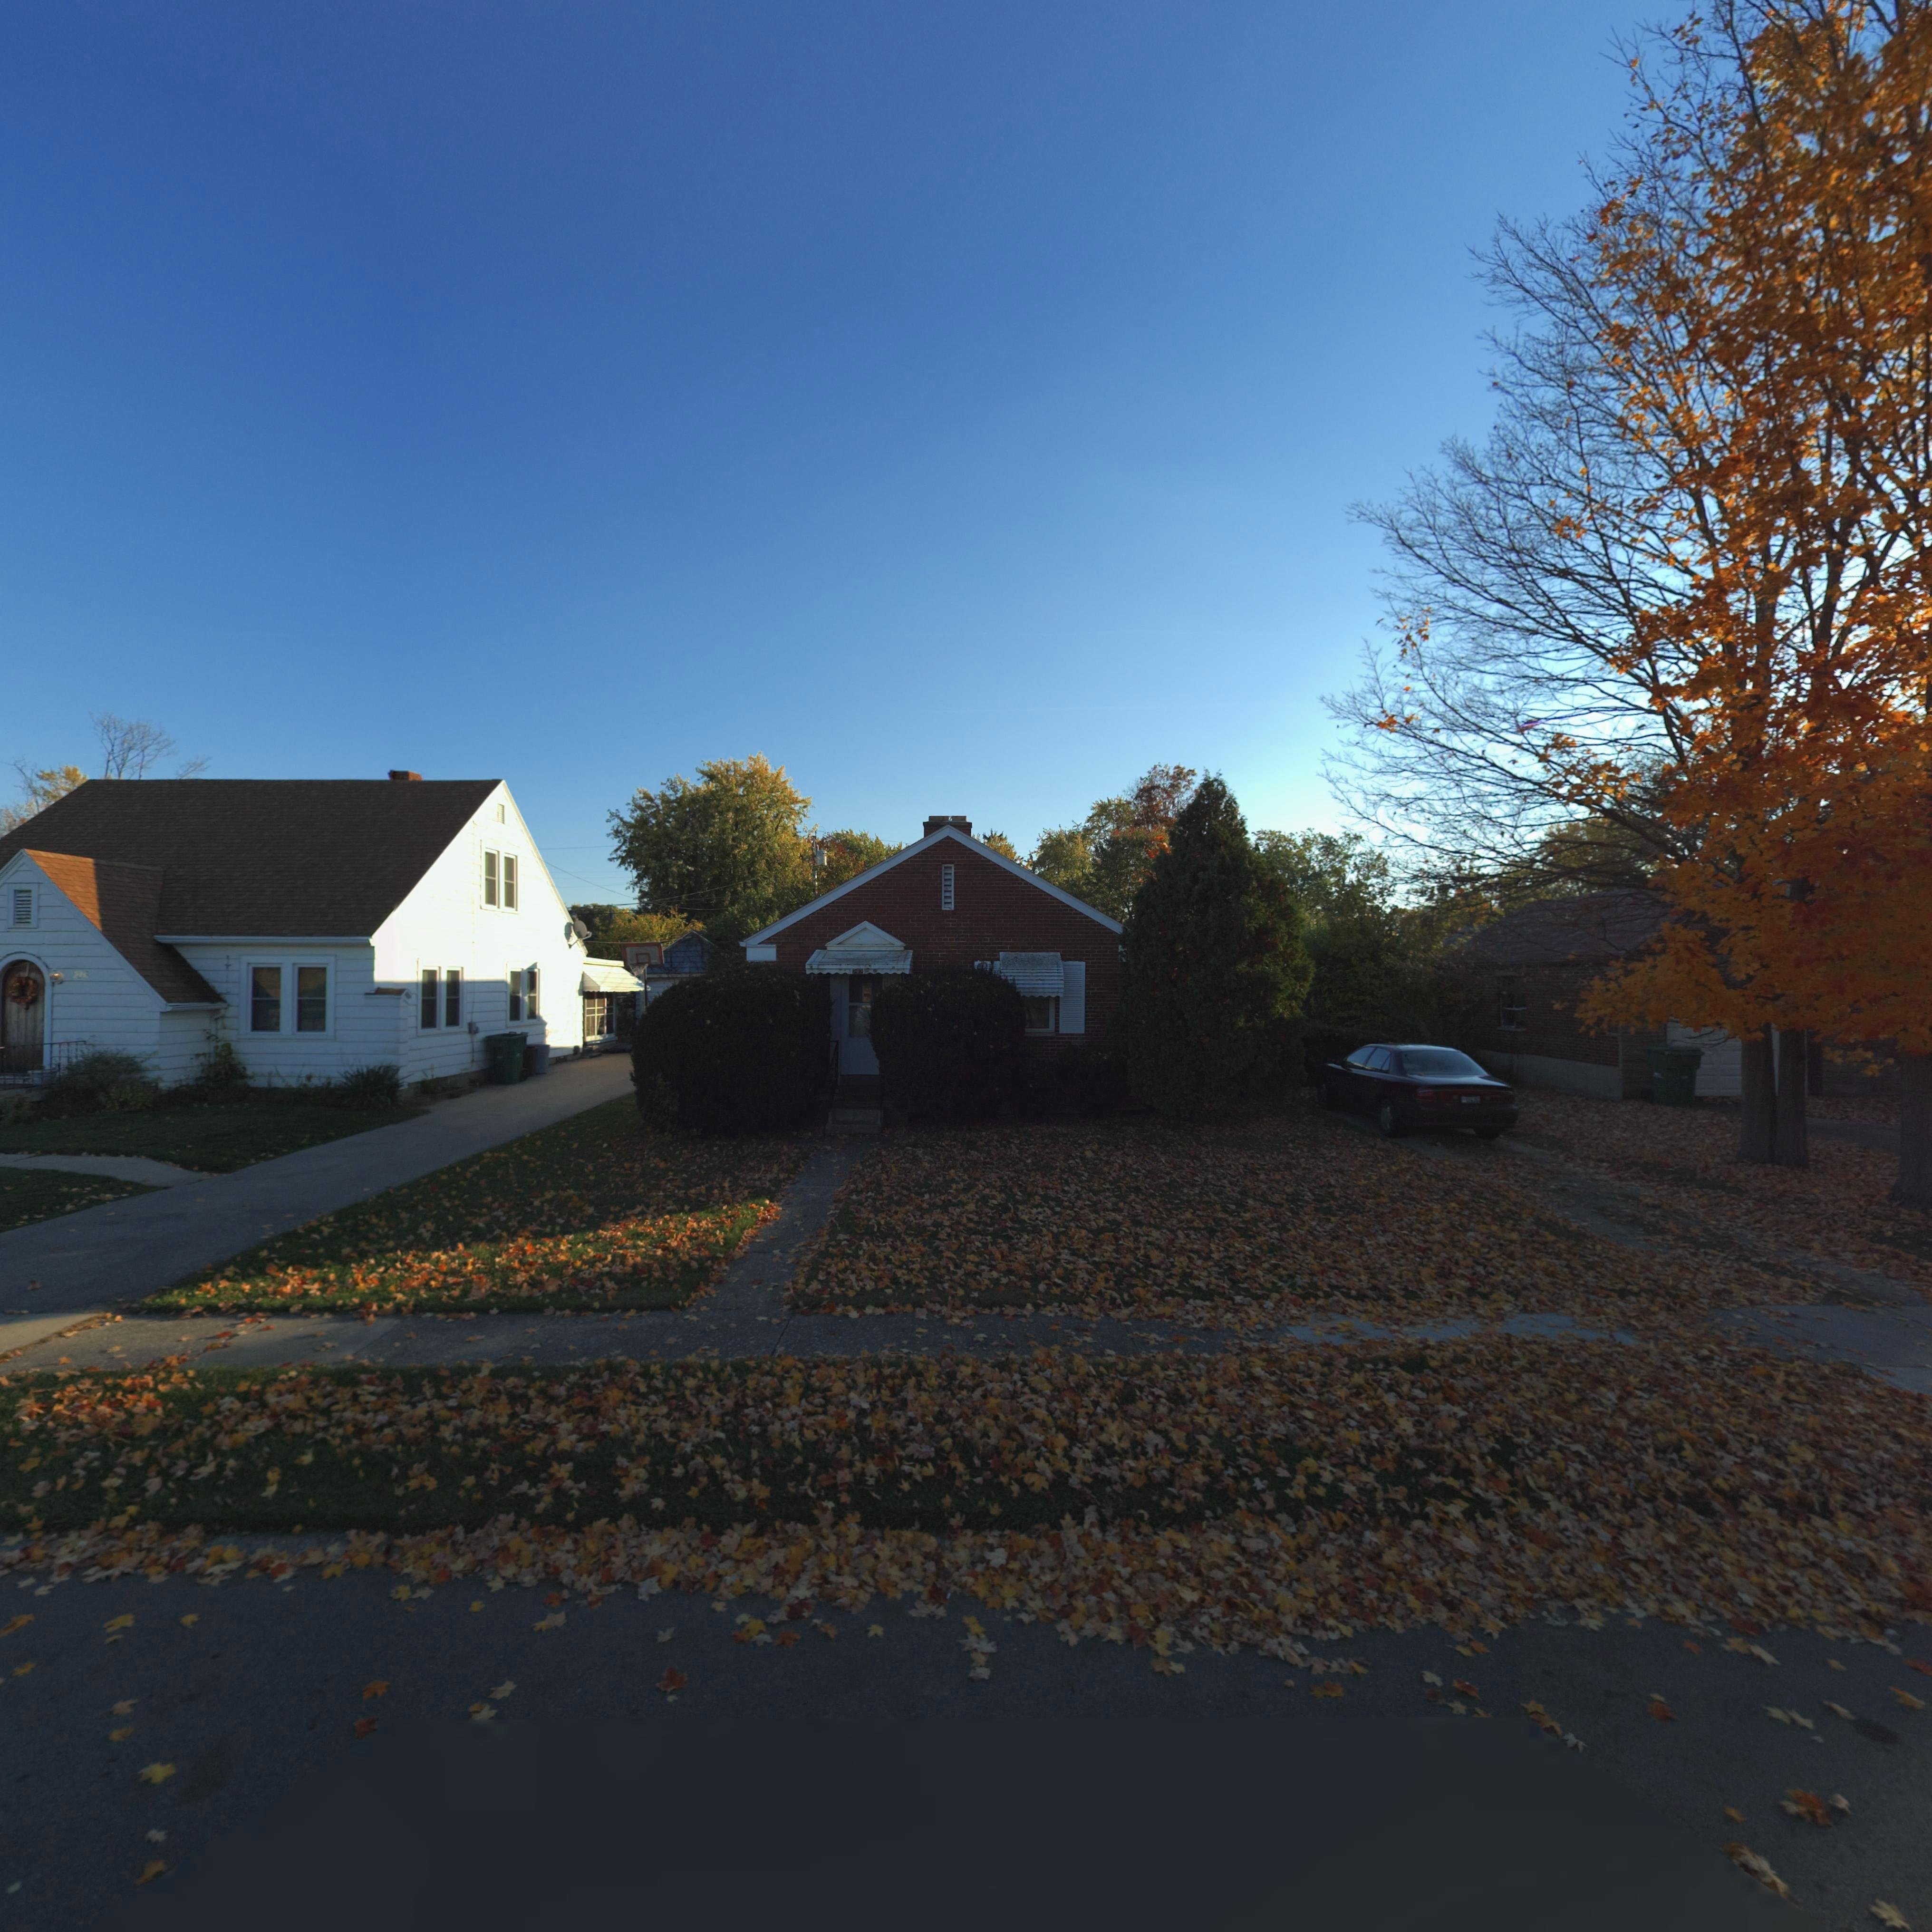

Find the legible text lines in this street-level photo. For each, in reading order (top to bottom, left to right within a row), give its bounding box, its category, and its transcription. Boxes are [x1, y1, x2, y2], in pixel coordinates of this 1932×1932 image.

[72, 971, 90, 979] StreetNumber: 216